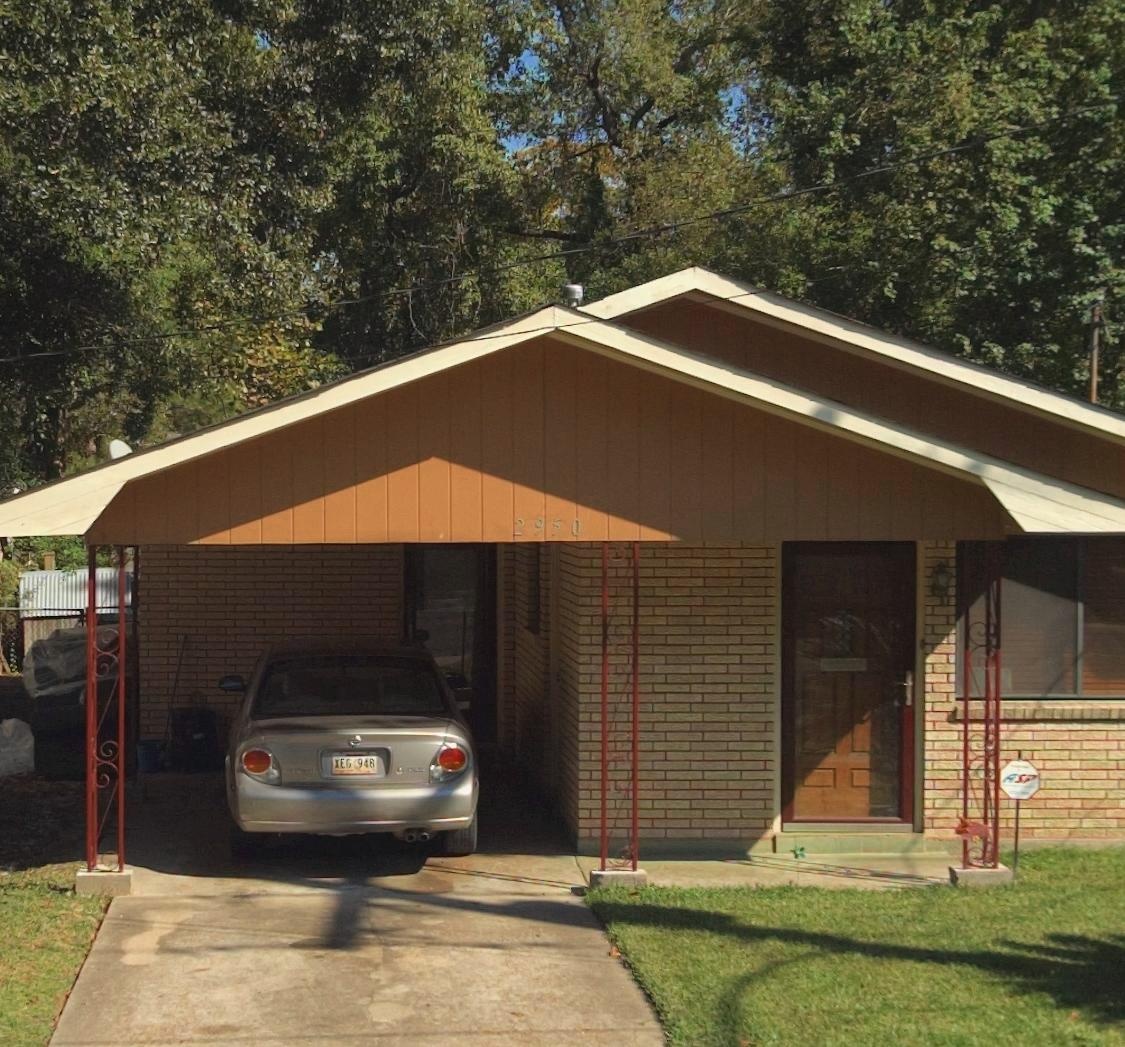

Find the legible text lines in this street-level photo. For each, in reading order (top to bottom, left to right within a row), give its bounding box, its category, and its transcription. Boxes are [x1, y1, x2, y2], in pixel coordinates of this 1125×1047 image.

[511, 517, 582, 538] StreetNumber: 2950
[334, 757, 376, 770] None: XEG 948
[1002, 773, 1039, 784] None: ASP